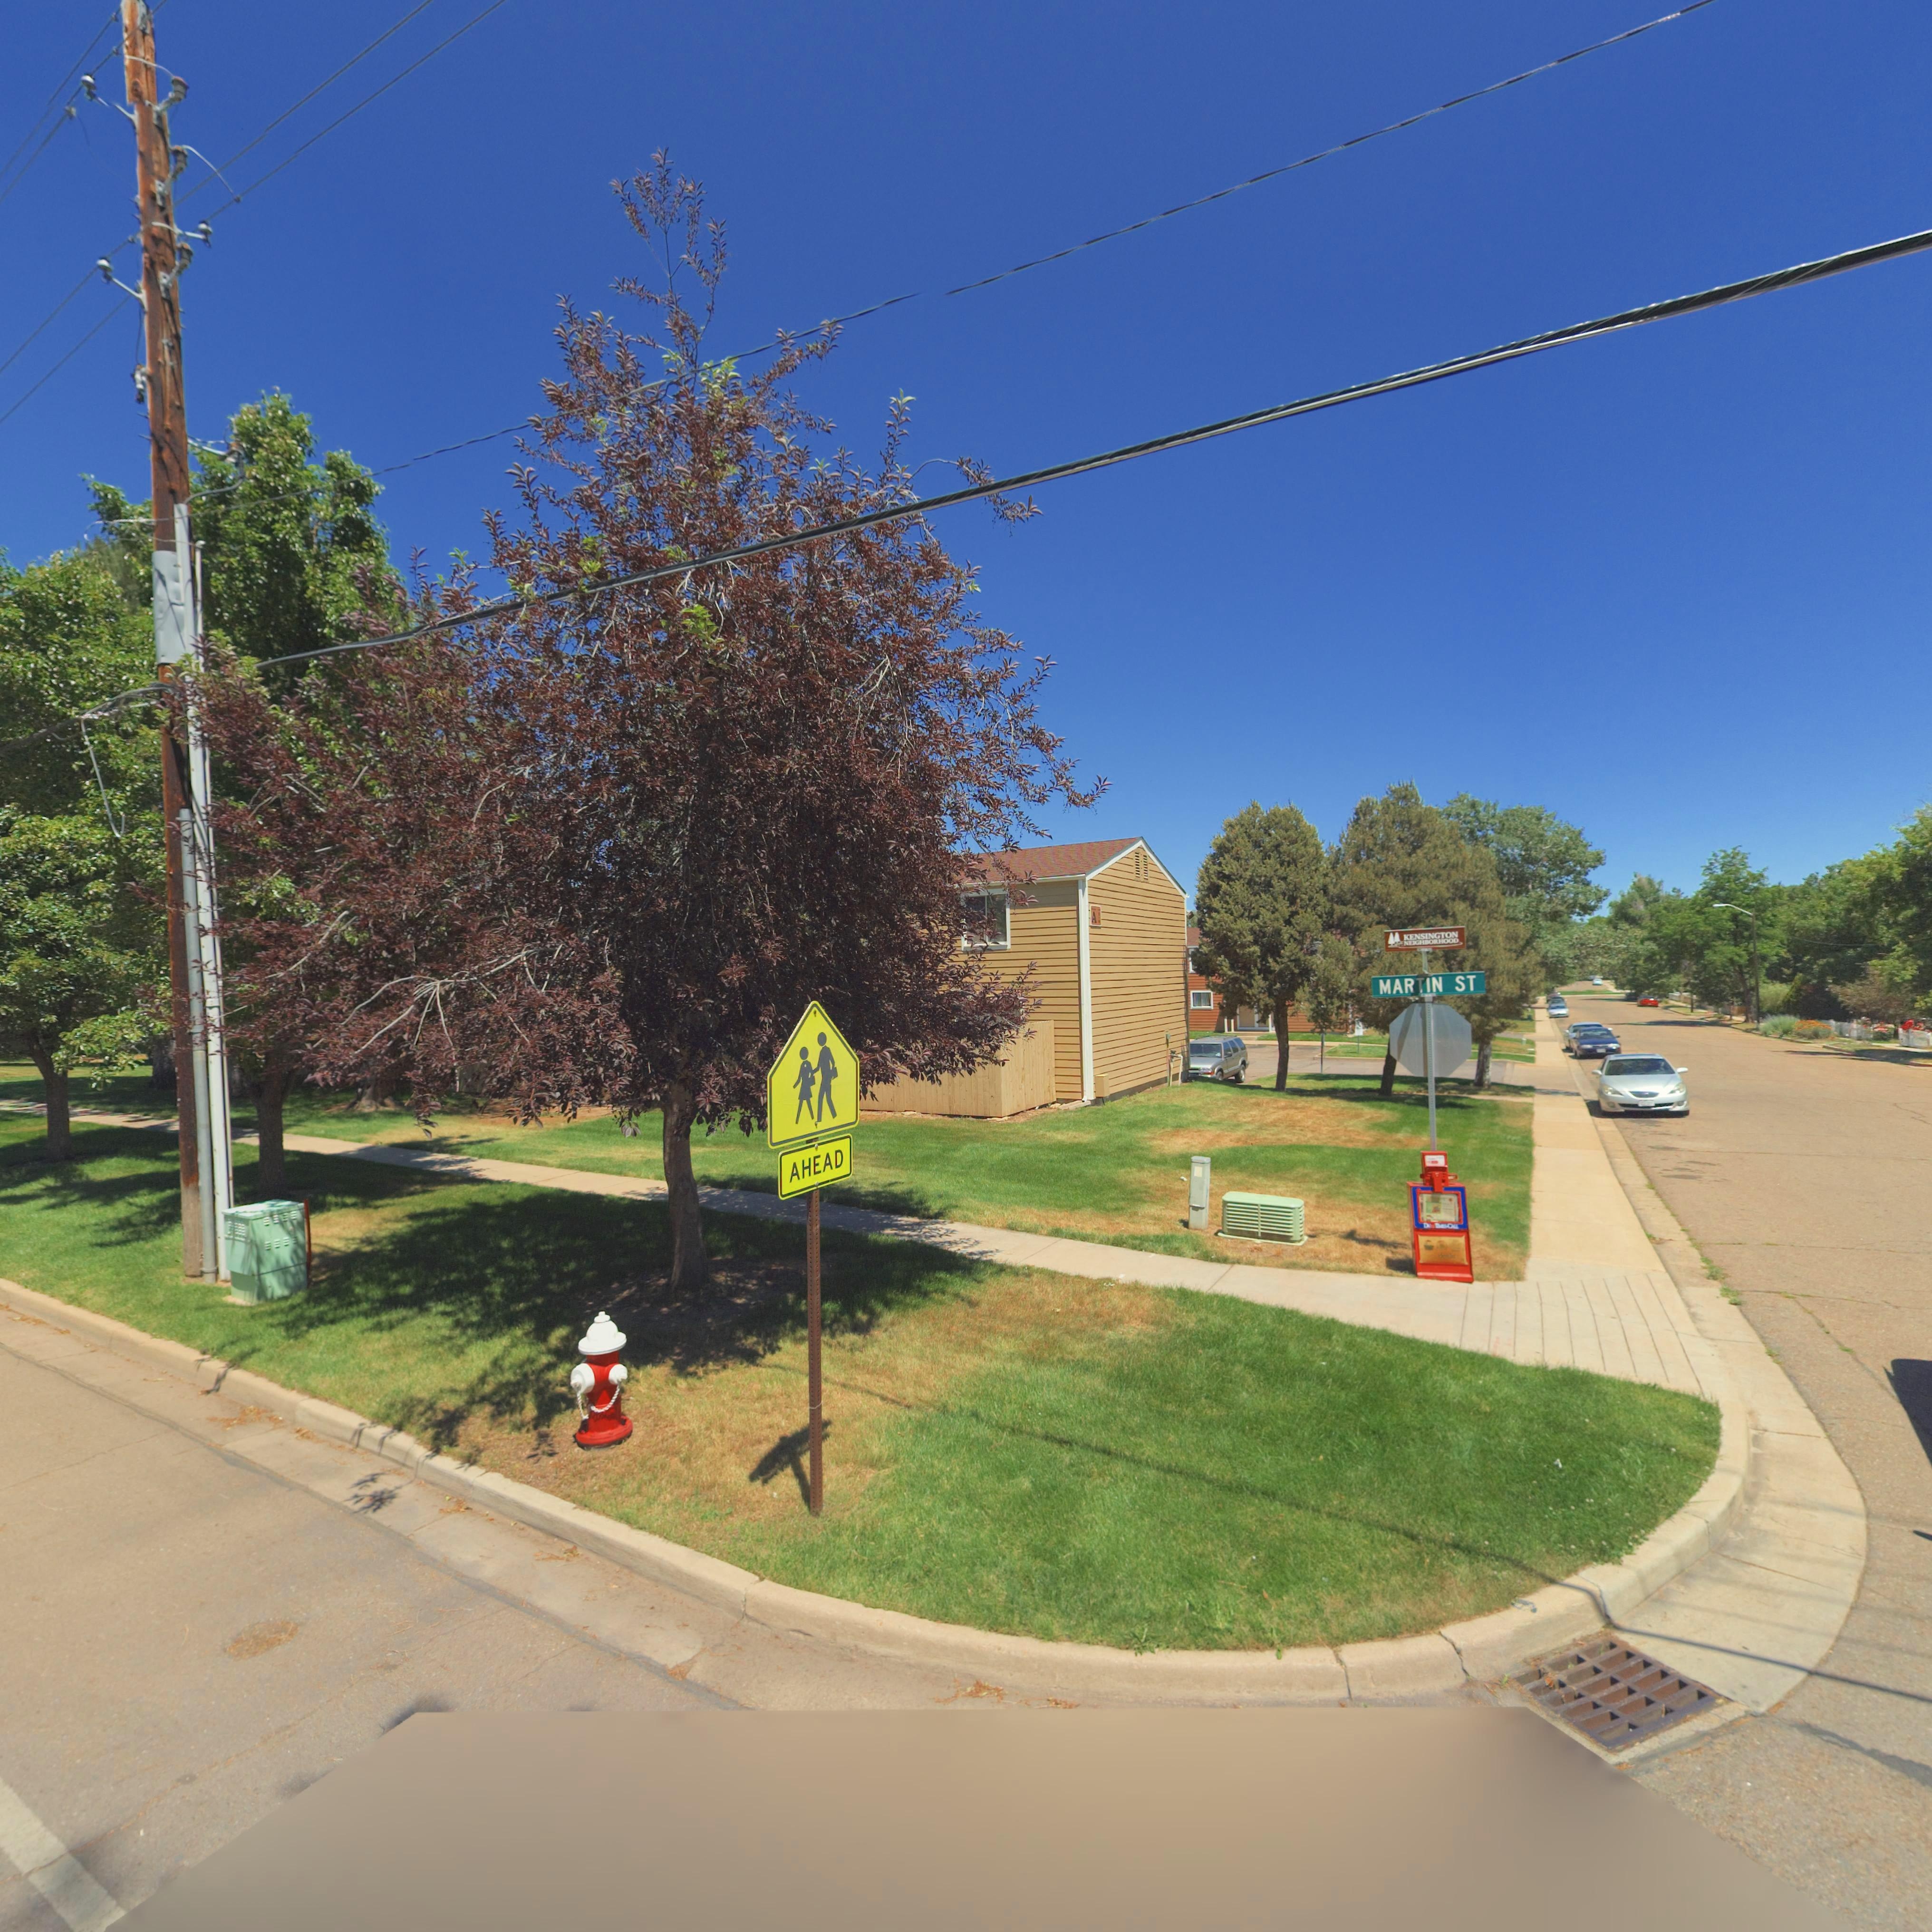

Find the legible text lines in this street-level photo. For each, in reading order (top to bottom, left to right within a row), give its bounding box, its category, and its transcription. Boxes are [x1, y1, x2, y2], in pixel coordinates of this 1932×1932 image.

[1378, 974, 1477, 995] StreetName: MARTIN ST